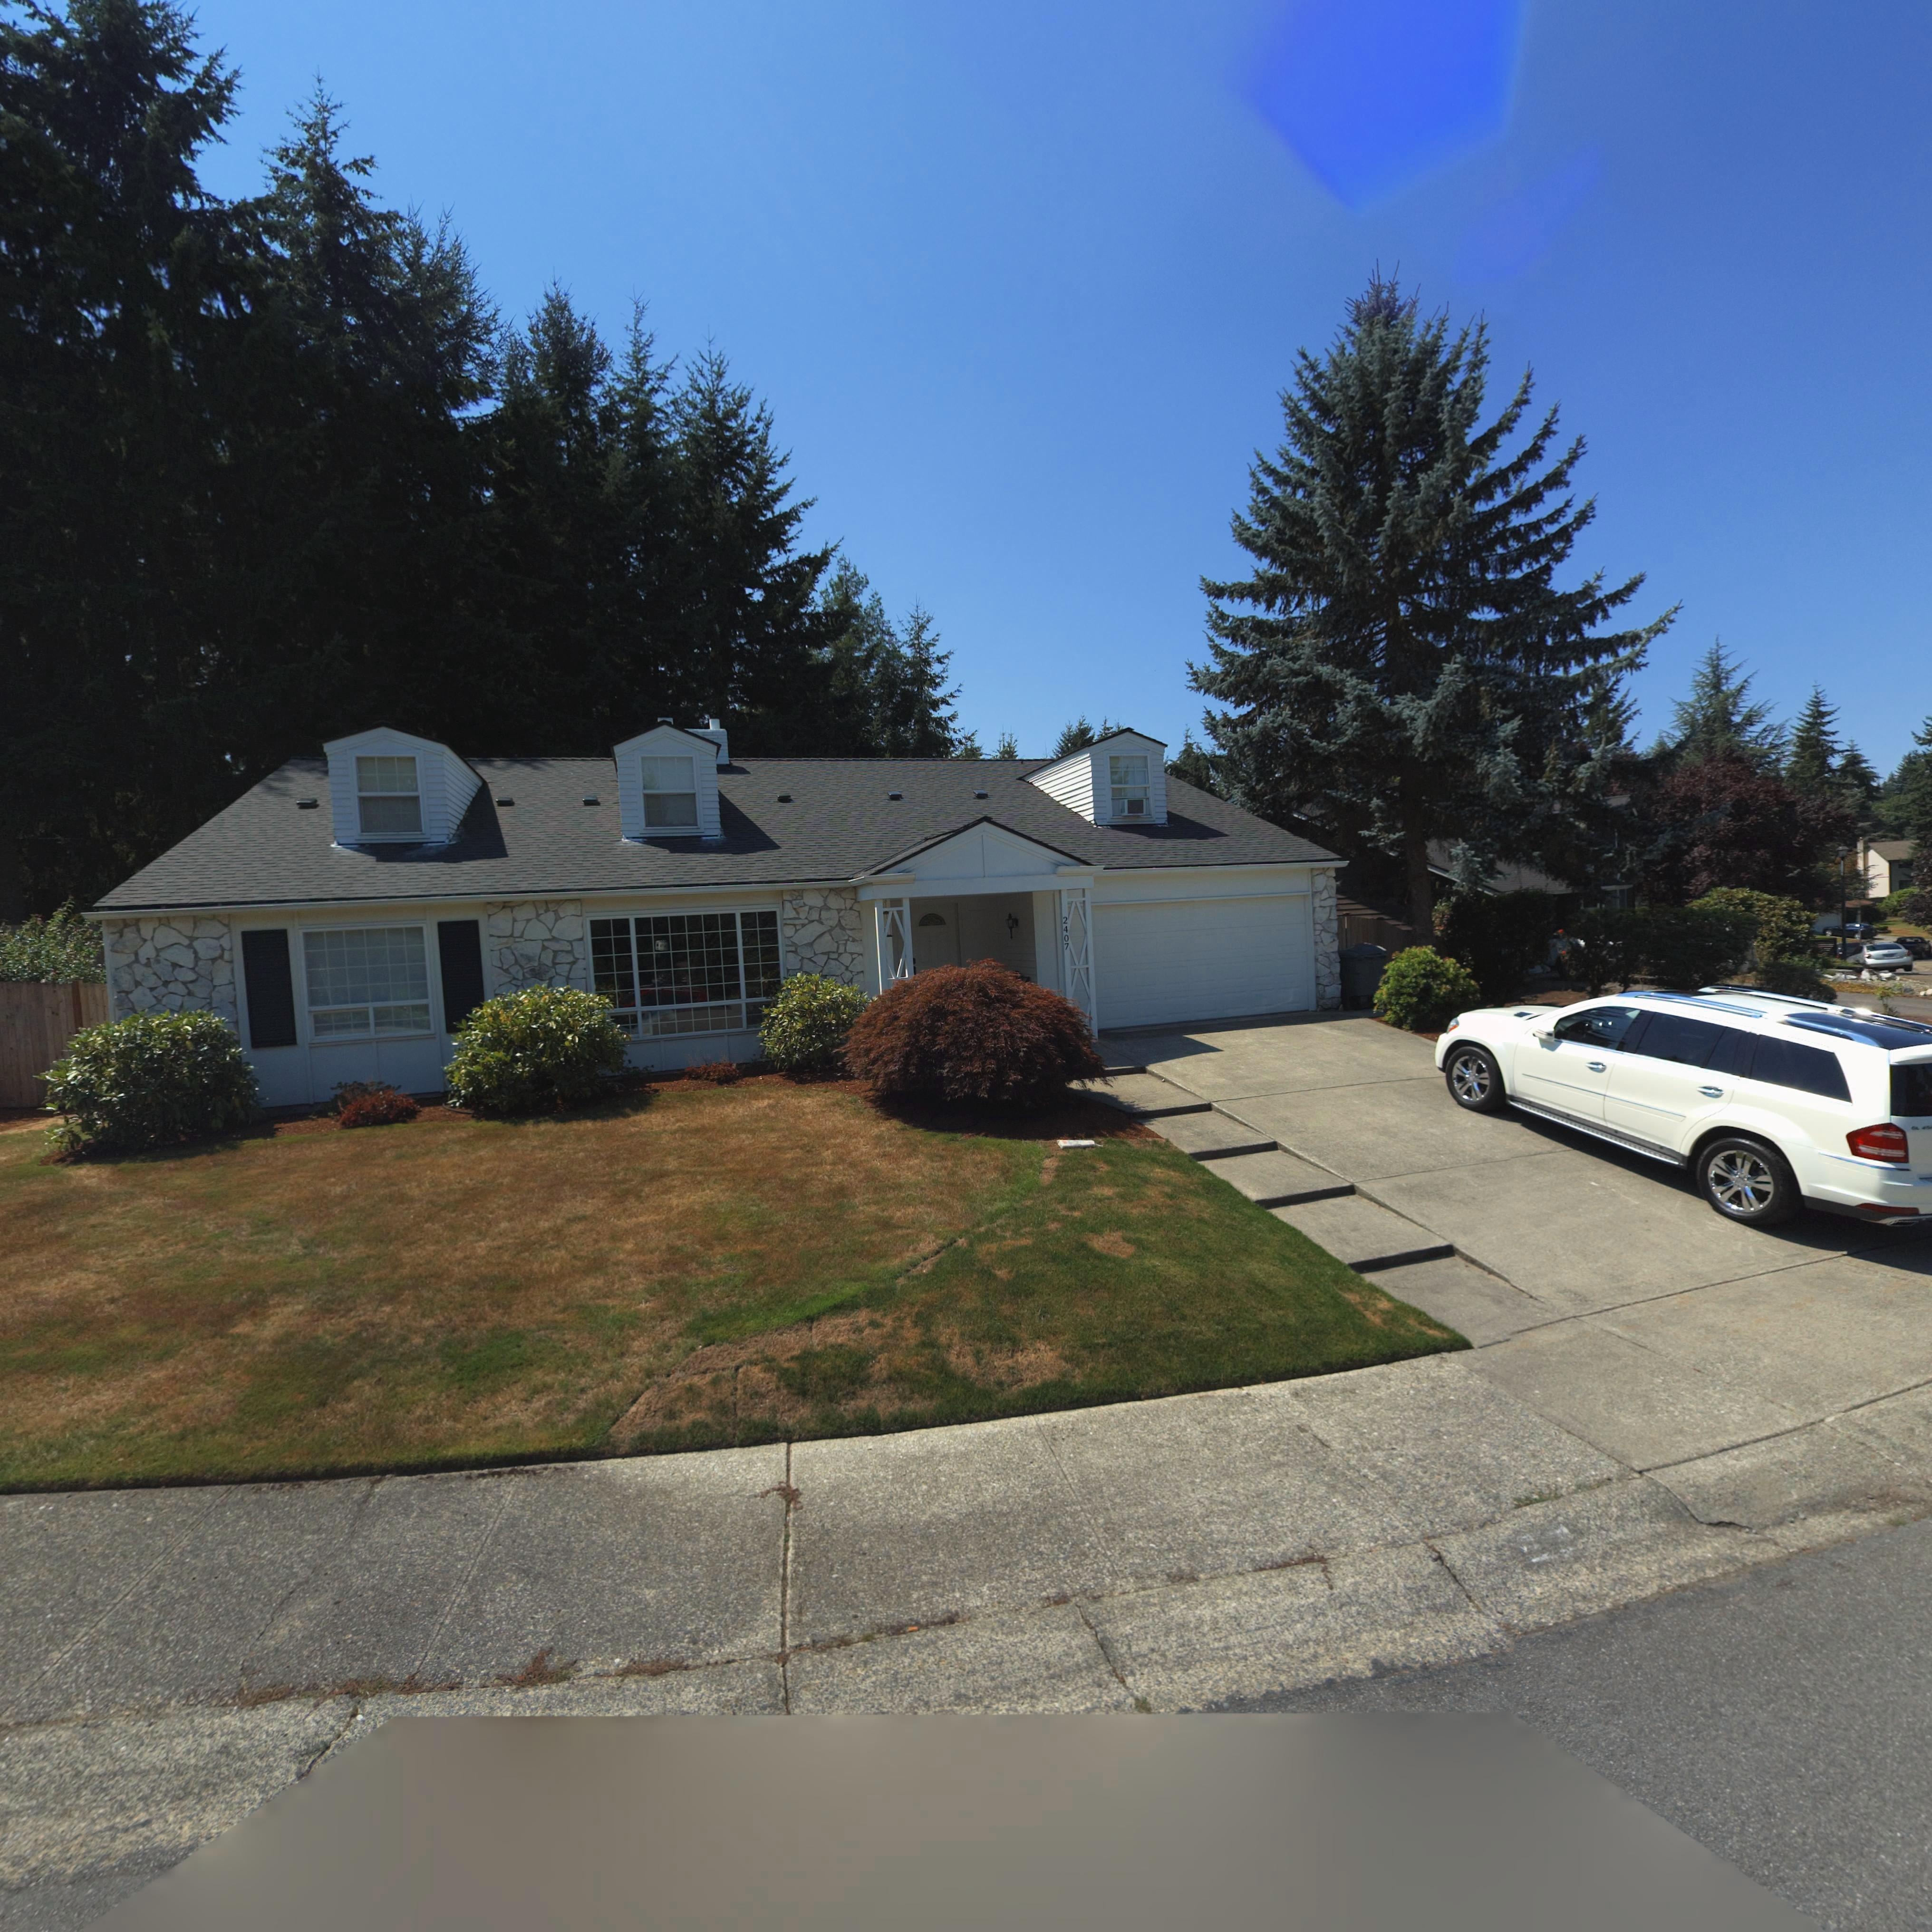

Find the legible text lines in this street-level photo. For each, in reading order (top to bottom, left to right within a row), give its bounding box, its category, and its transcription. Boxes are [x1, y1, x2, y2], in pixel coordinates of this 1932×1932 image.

[1063, 915, 1069, 952] StreetNumber: 2407